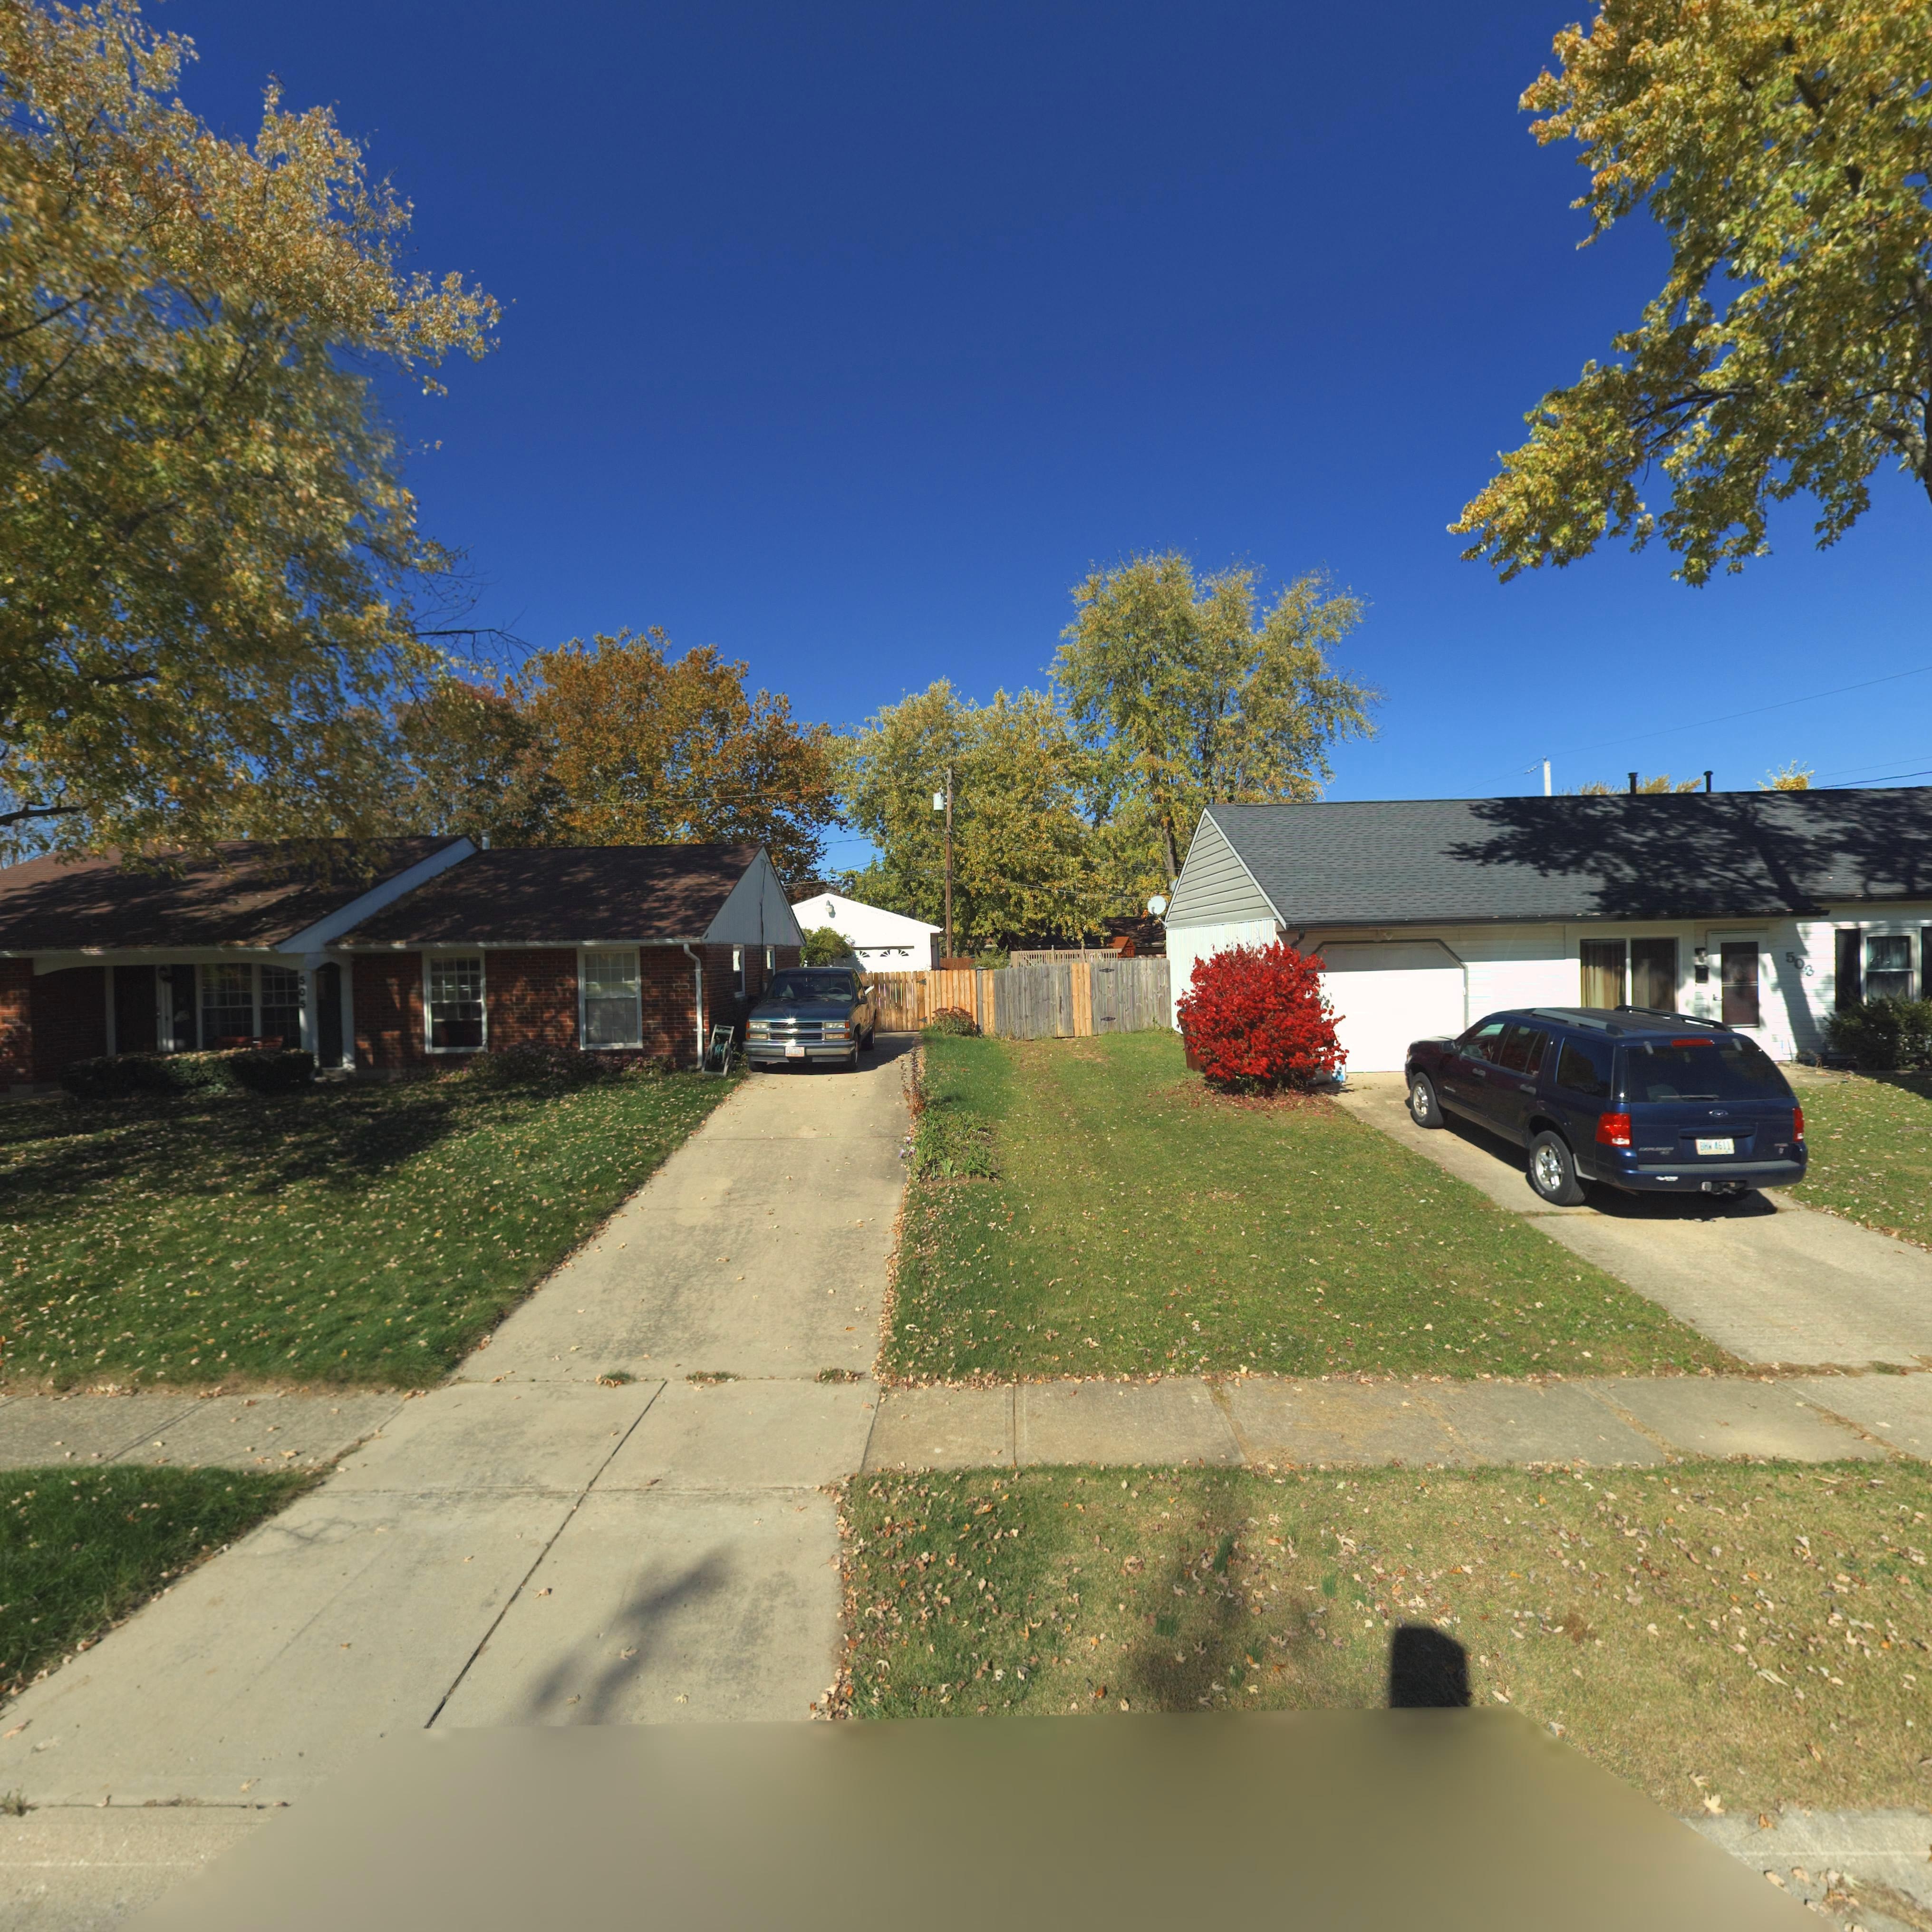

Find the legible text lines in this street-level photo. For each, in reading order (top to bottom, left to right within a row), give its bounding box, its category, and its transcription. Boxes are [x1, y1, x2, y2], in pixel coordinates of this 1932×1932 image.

[1785, 951, 1815, 977] StreetNumber: 503
[298, 975, 306, 1009] StreetNumber: 505